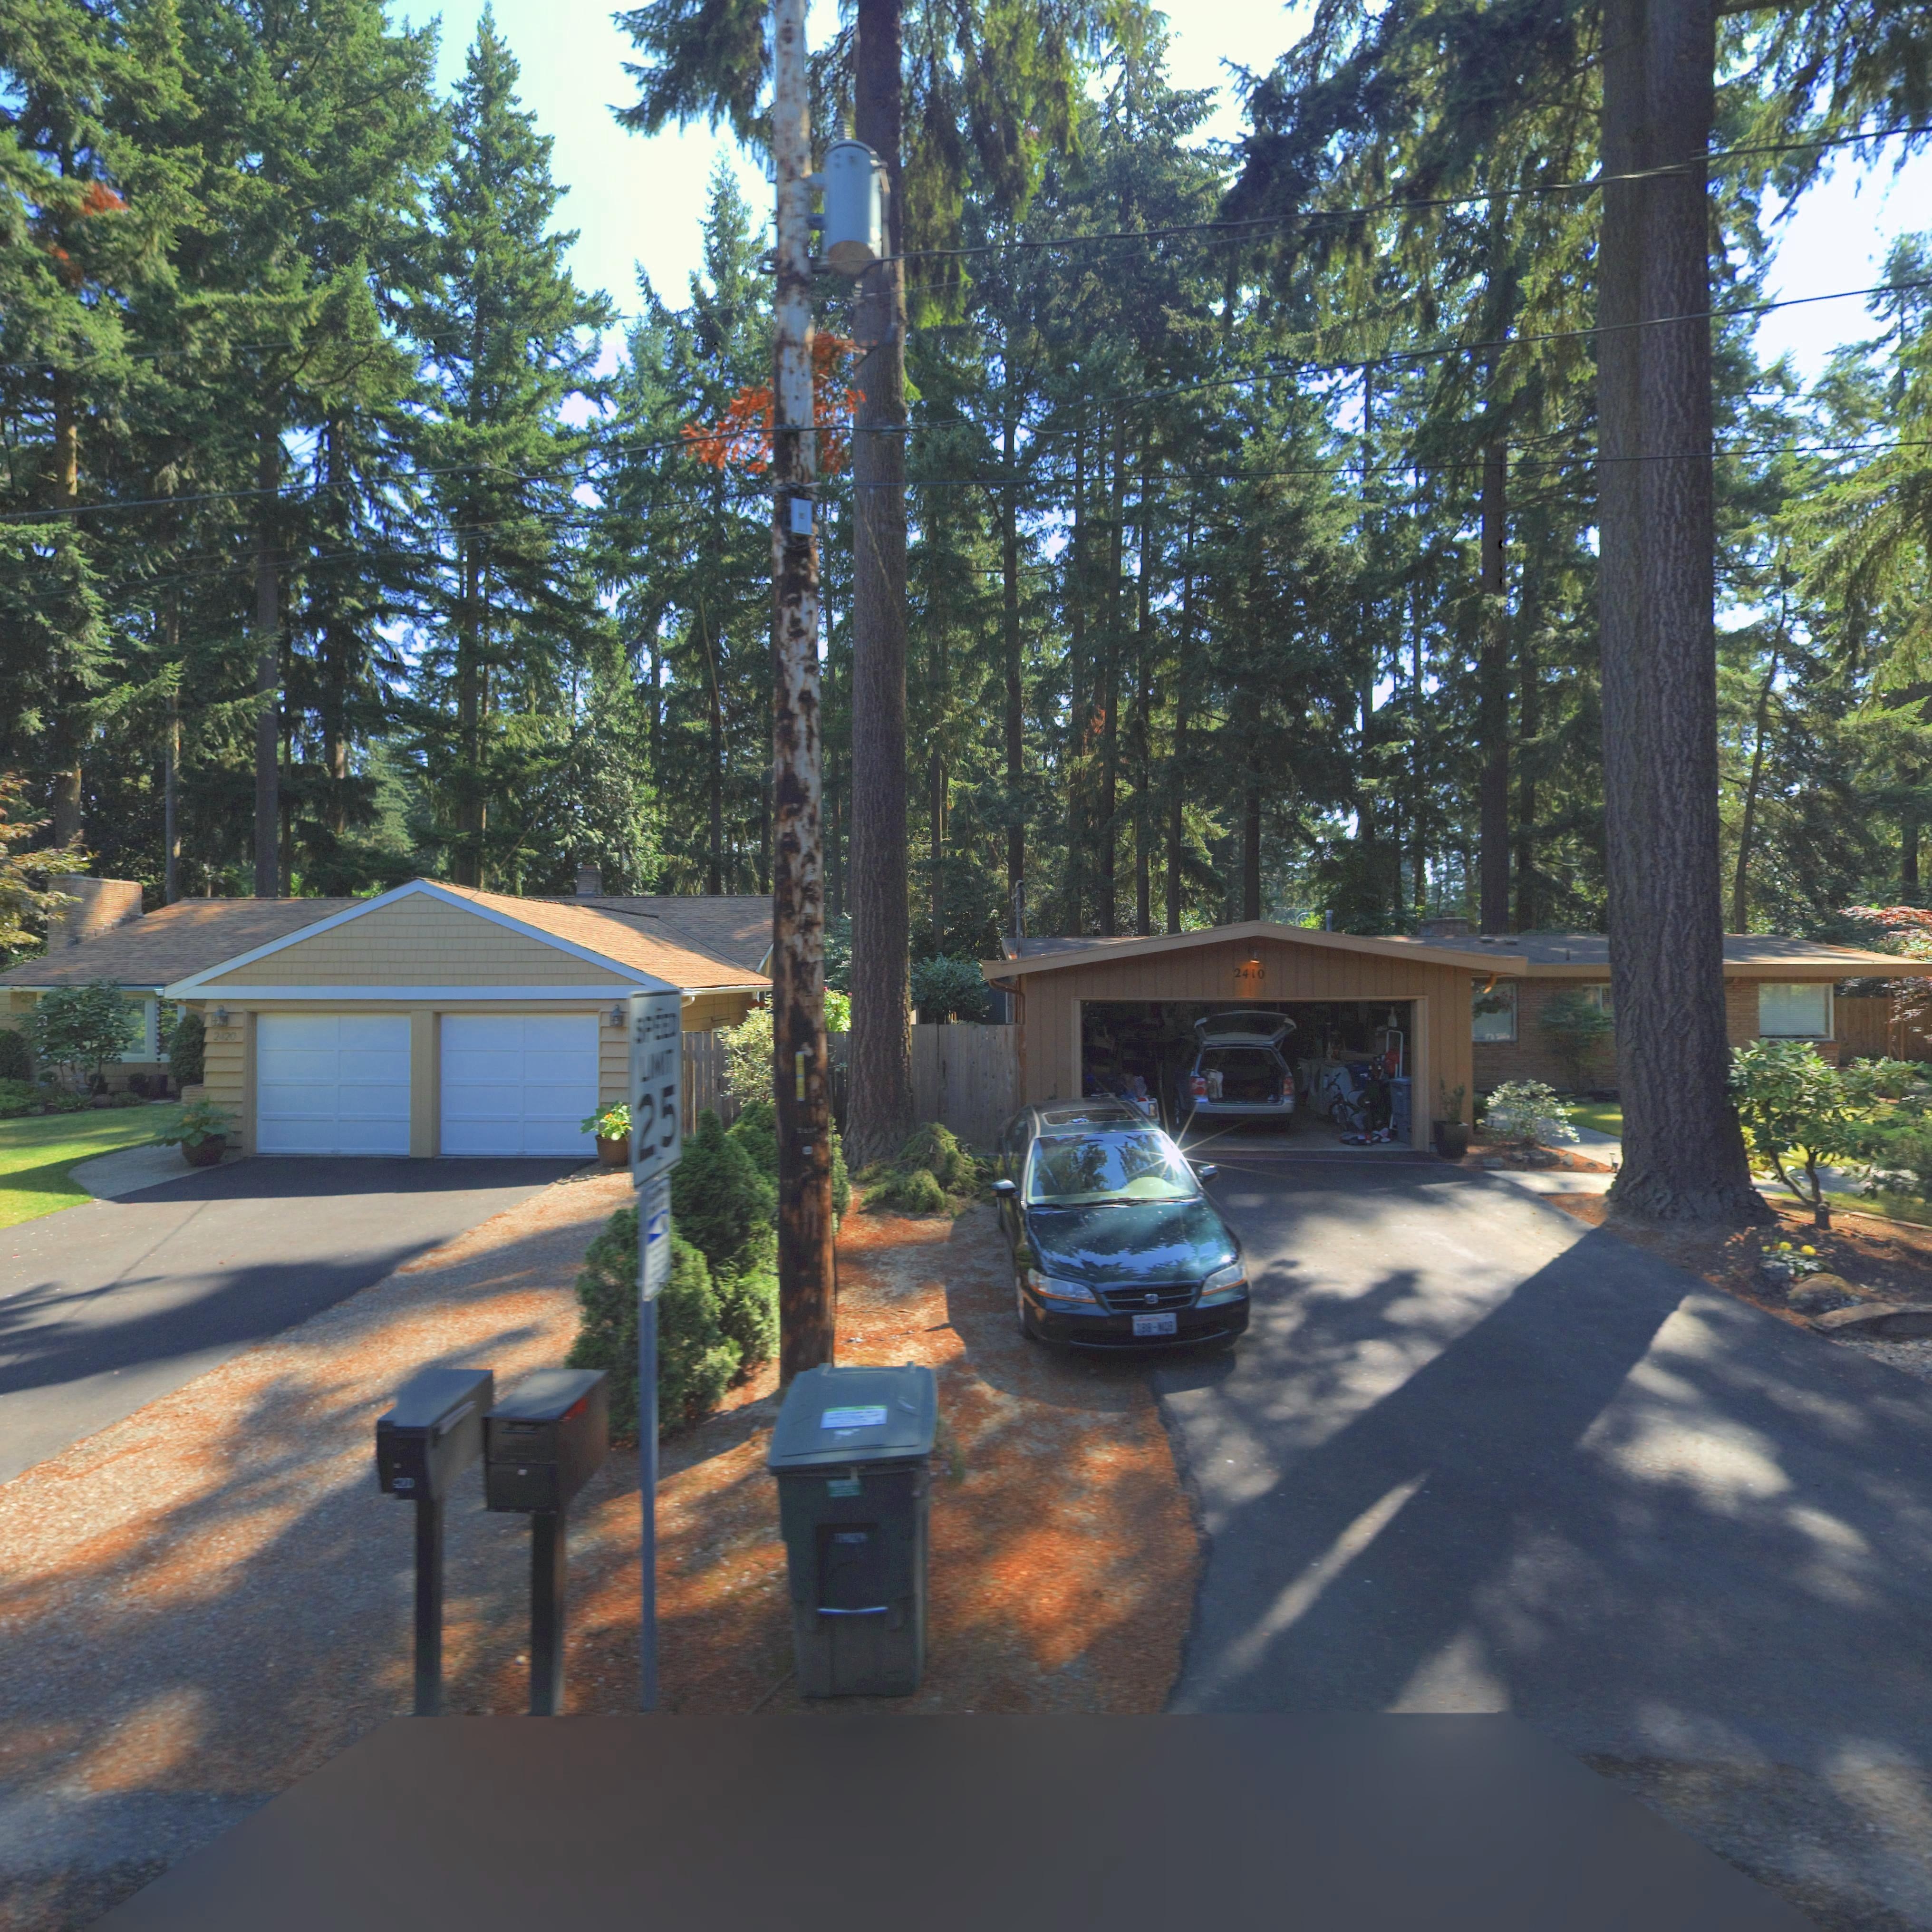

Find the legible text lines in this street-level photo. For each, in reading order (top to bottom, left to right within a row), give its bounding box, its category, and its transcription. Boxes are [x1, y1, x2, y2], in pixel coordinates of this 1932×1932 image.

[1233, 966, 1265, 980] StreetNumber: 2410
[213, 1031, 237, 1041] StreetNumber: 2420
[393, 1477, 415, 1489] StreetNumber: *20